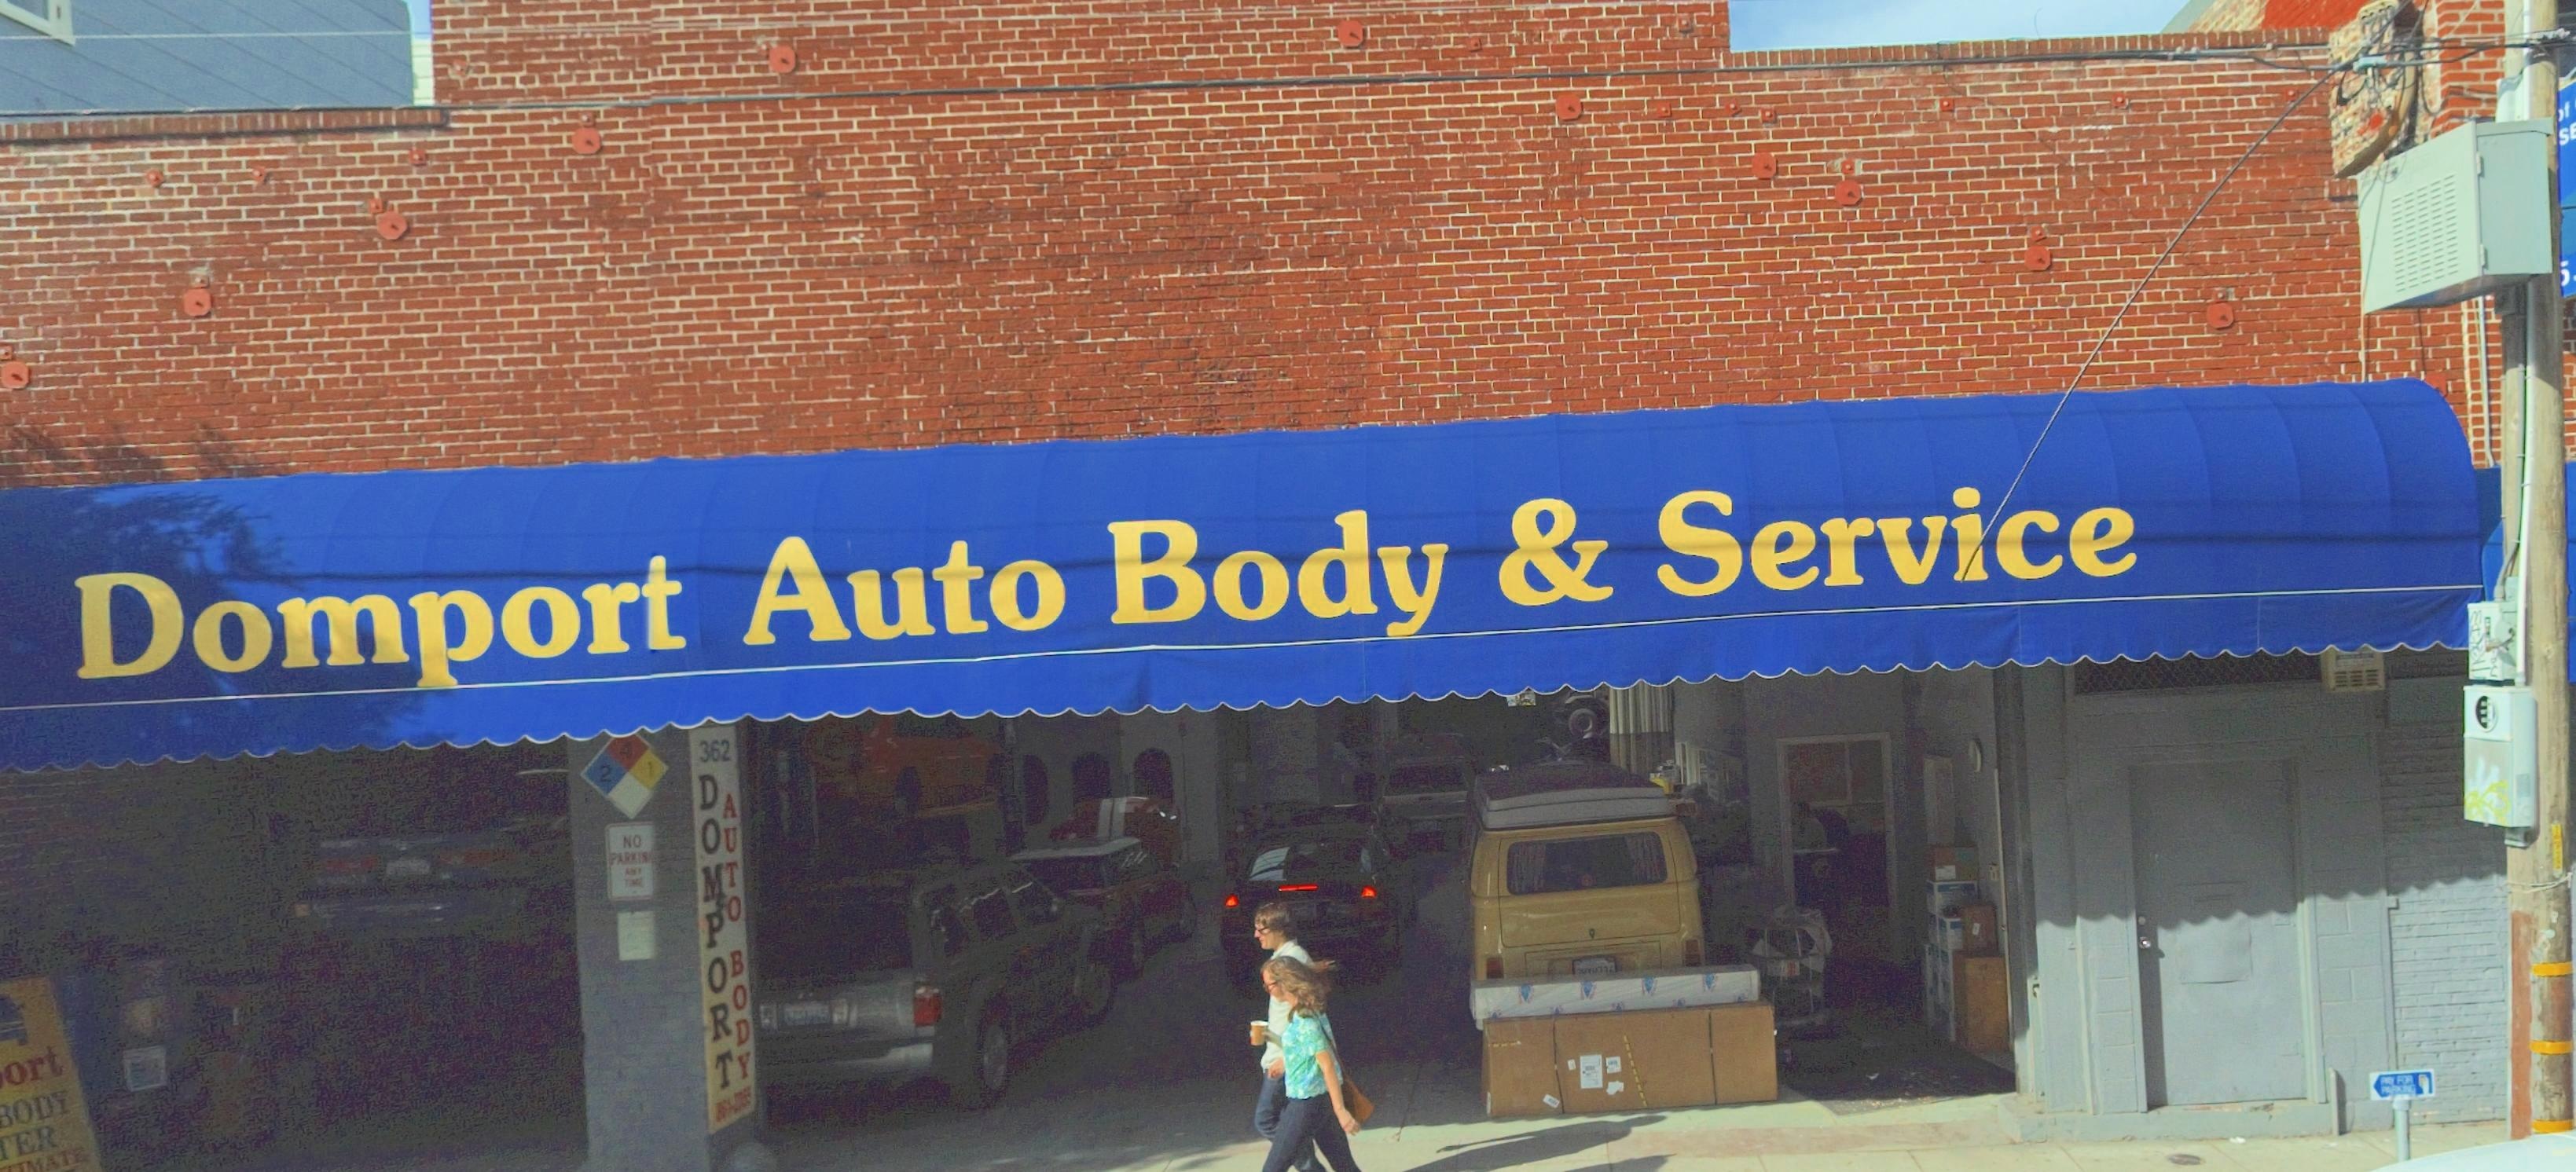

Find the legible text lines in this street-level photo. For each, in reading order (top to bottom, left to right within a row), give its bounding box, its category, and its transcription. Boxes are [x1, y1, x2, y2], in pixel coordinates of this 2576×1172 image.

[2561, 97, 2573, 120] None: f
[2556, 125, 2571, 148] None: S
[64, 478, 2145, 698] BusinessName: Domport Auto Body & Service
[615, 737, 636, 763] None: 4
[695, 735, 733, 767] StreetNumber: 362
[595, 761, 615, 786] None: 2
[644, 757, 657, 782] None: 1
[622, 832, 644, 851] None: NO
[607, 848, 651, 870] None: PARKIN
[695, 769, 739, 1095] None: DOMPORT
[721, 790, 756, 1087] None: AUTO BODY
[2, 1040, 68, 1090] None: ort
[9, 1085, 75, 1127] None: ODY
[8, 1121, 64, 1161] None: ER
[44, 1142, 94, 1171] None: ATE